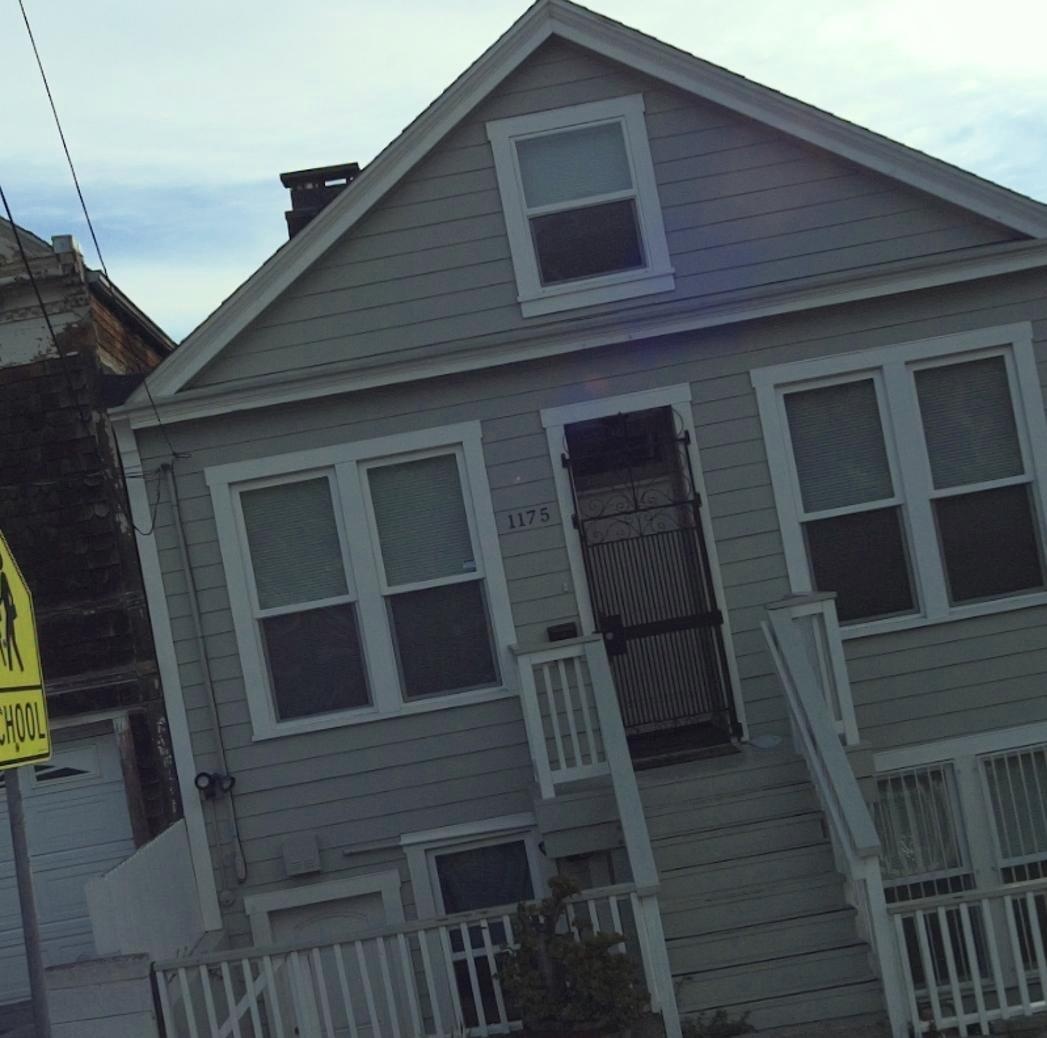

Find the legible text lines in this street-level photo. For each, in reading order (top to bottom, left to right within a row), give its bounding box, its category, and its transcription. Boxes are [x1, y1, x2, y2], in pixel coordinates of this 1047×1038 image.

[505, 505, 552, 531] StreetNumber: 1175
[2, 700, 47, 746] None: HOOL